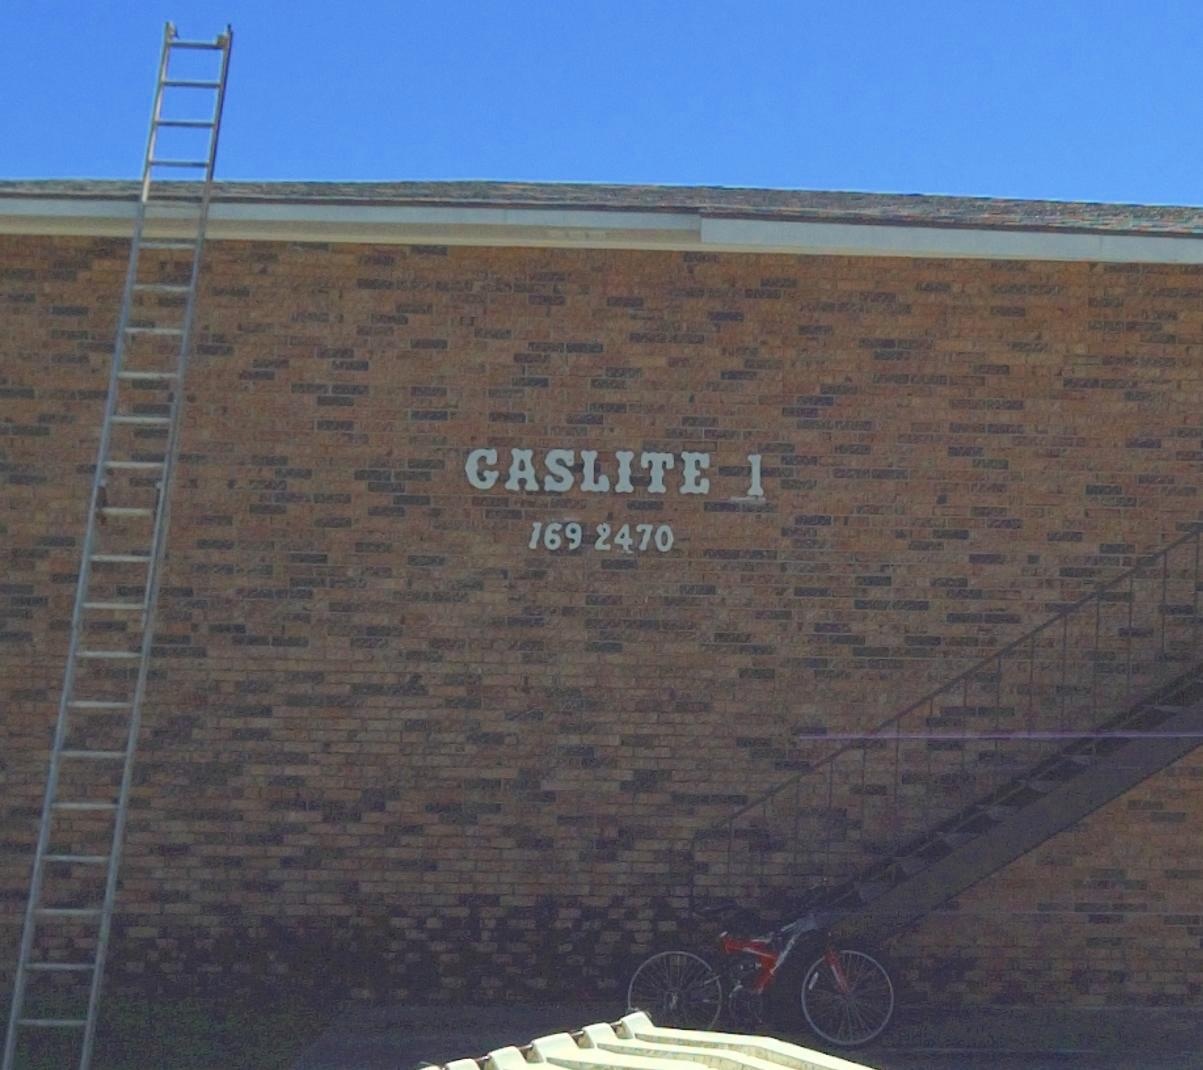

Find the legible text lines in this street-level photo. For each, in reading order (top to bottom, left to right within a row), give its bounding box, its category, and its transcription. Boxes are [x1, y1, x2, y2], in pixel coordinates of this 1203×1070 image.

[462, 446, 765, 499] BusinessName: GASLITE 1
[526, 520, 676, 553] None: 169 2470